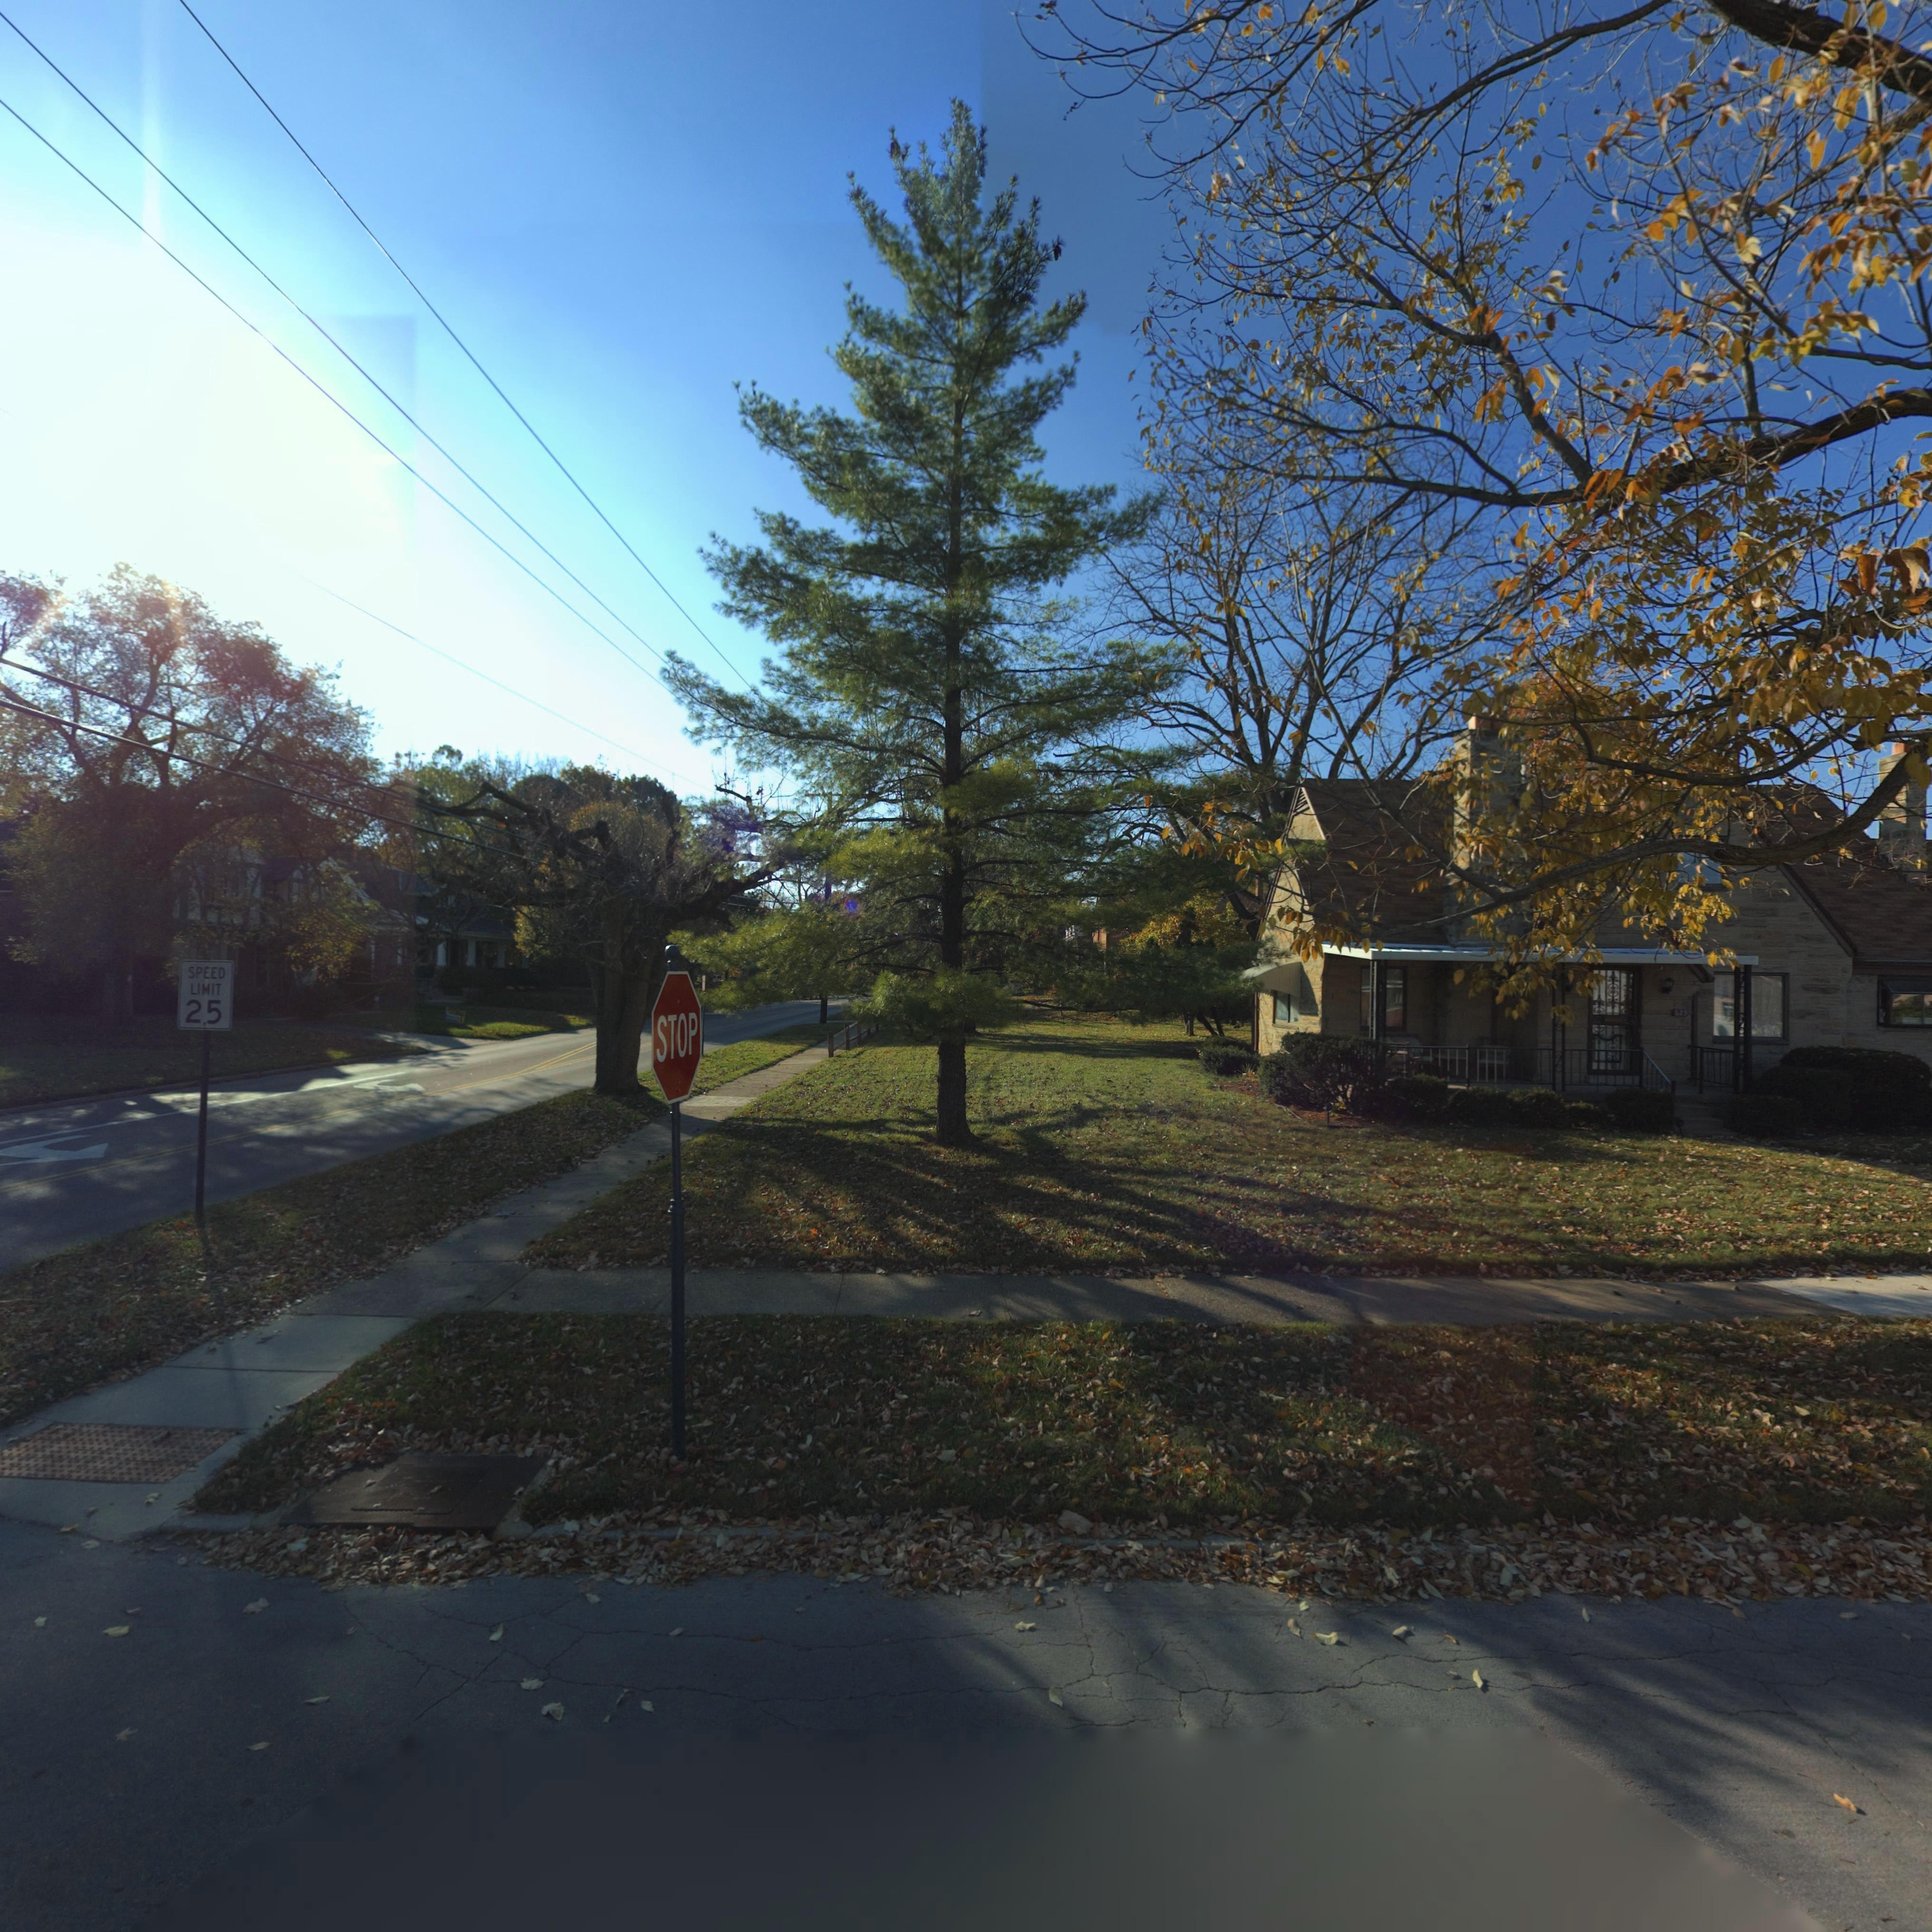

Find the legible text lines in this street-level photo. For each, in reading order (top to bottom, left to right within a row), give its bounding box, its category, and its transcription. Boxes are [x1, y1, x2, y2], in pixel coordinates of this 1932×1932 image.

[1674, 1009, 1687, 1016] StreetNumber: 62*\